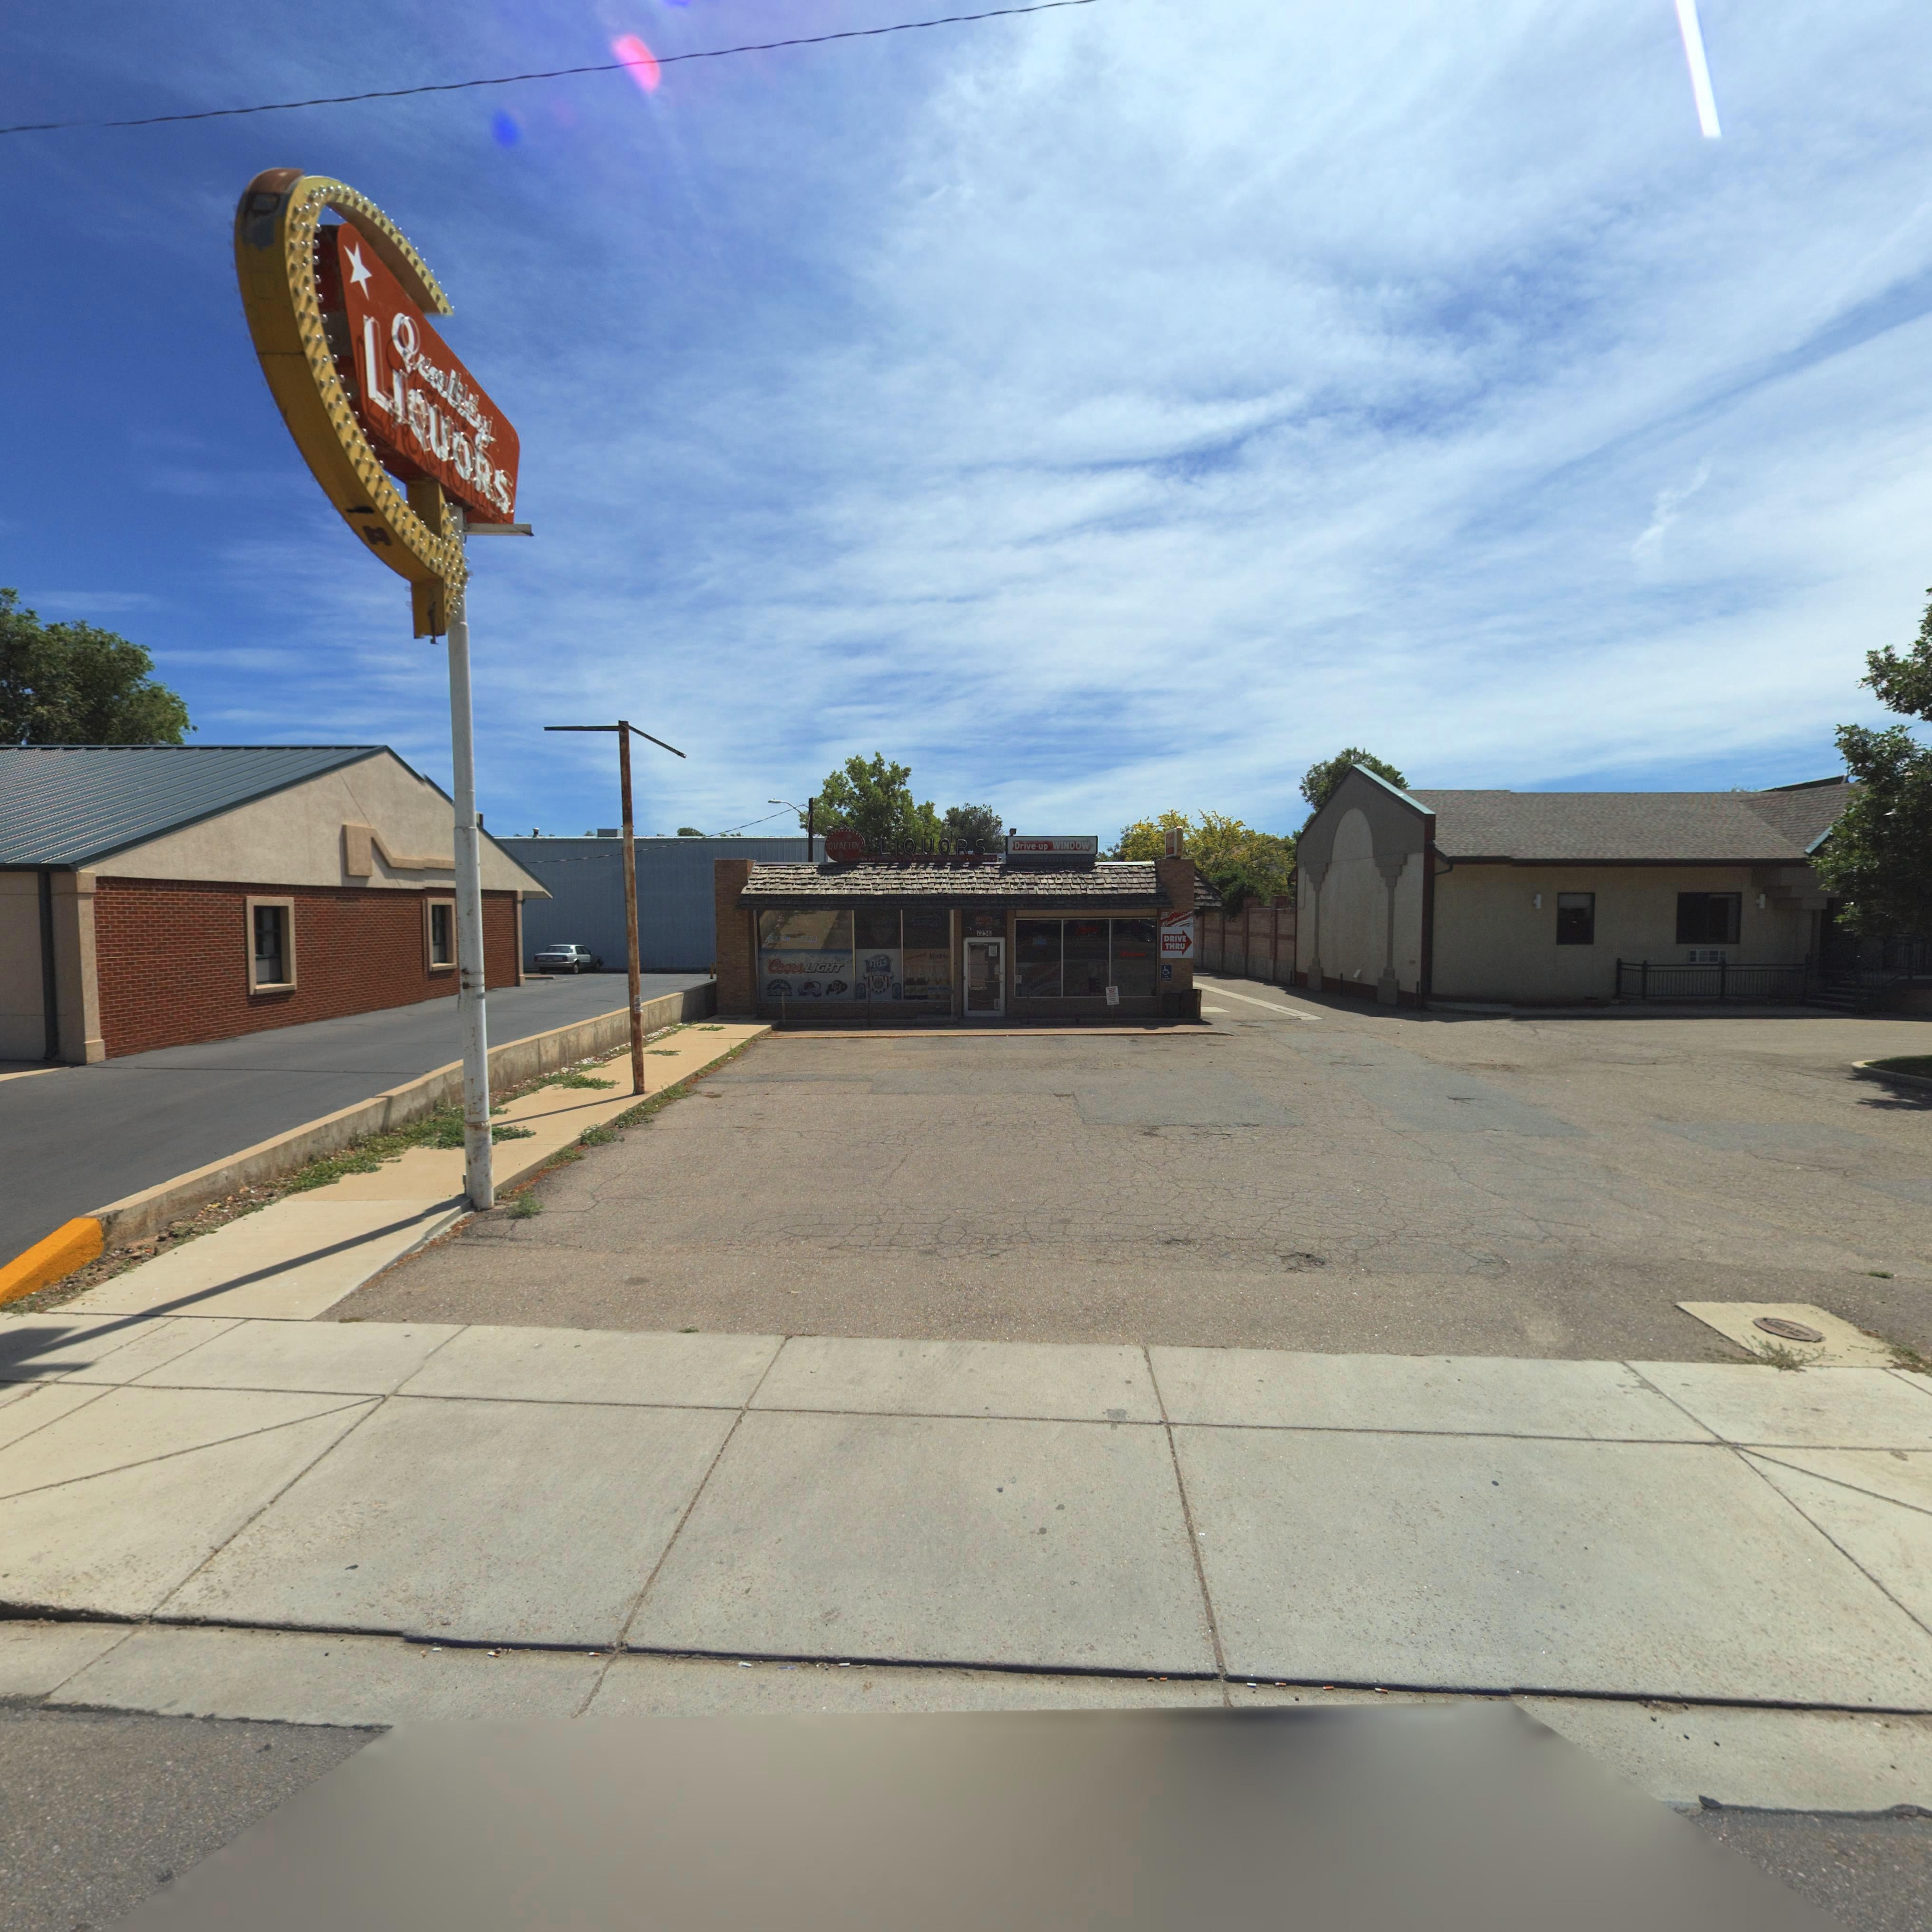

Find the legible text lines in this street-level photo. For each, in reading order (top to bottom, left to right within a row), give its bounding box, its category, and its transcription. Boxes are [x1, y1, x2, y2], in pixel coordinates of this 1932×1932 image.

[390, 310, 493, 449] BusinessName: Qual**y
[360, 311, 511, 517] BusinessName: LIQUORS
[828, 841, 860, 850] BusinessName: QUALITY
[879, 838, 985, 857] BusinessName: LIQUORS
[977, 930, 991, 936] StreetNumber: 1236